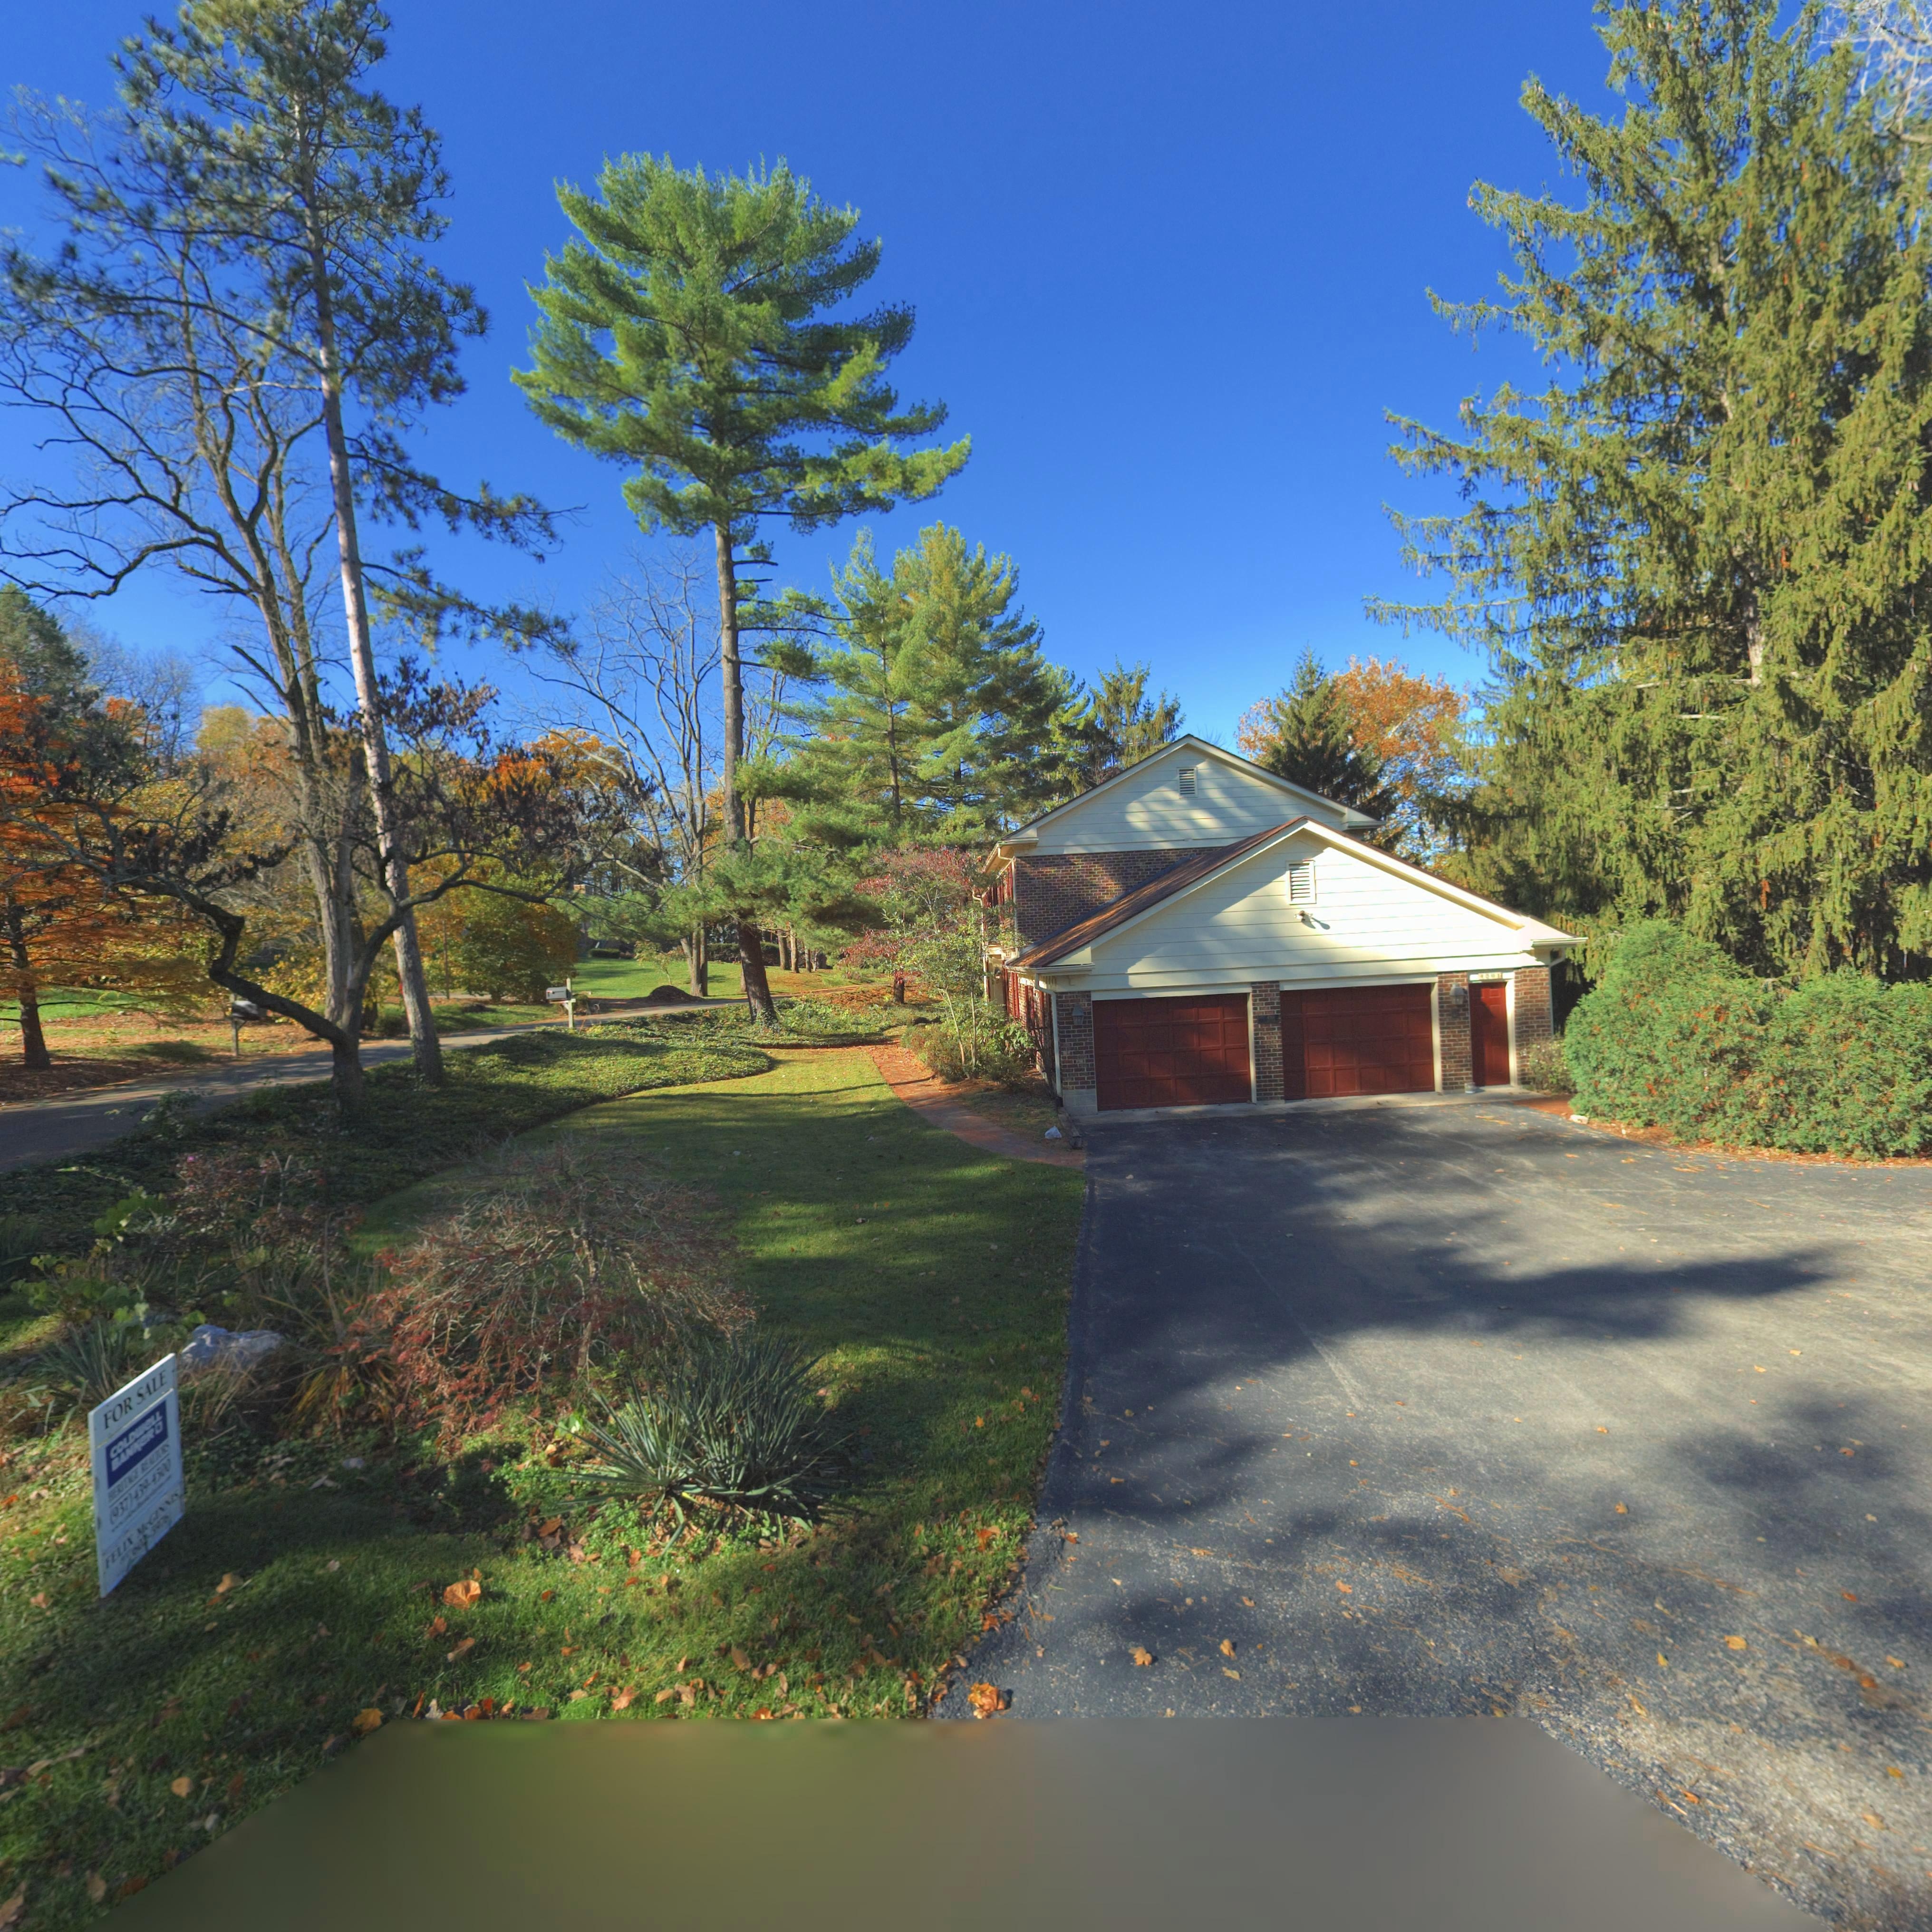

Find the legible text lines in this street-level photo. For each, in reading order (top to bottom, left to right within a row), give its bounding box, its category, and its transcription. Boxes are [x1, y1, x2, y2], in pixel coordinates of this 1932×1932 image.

[1478, 971, 1502, 981] StreetNumber: 4001
[102, 1366, 169, 1432] None: FOR SALE
[110, 1426, 156, 1474] None: BANKeR
[108, 1410, 164, 1461] None: COLDWeLL
[105, 1437, 171, 1505] None: HERITAGE REALTORS
[108, 1455, 172, 1527] None: (937)439-4500
[103, 1486, 180, 1573] None: FELIX McGINNES